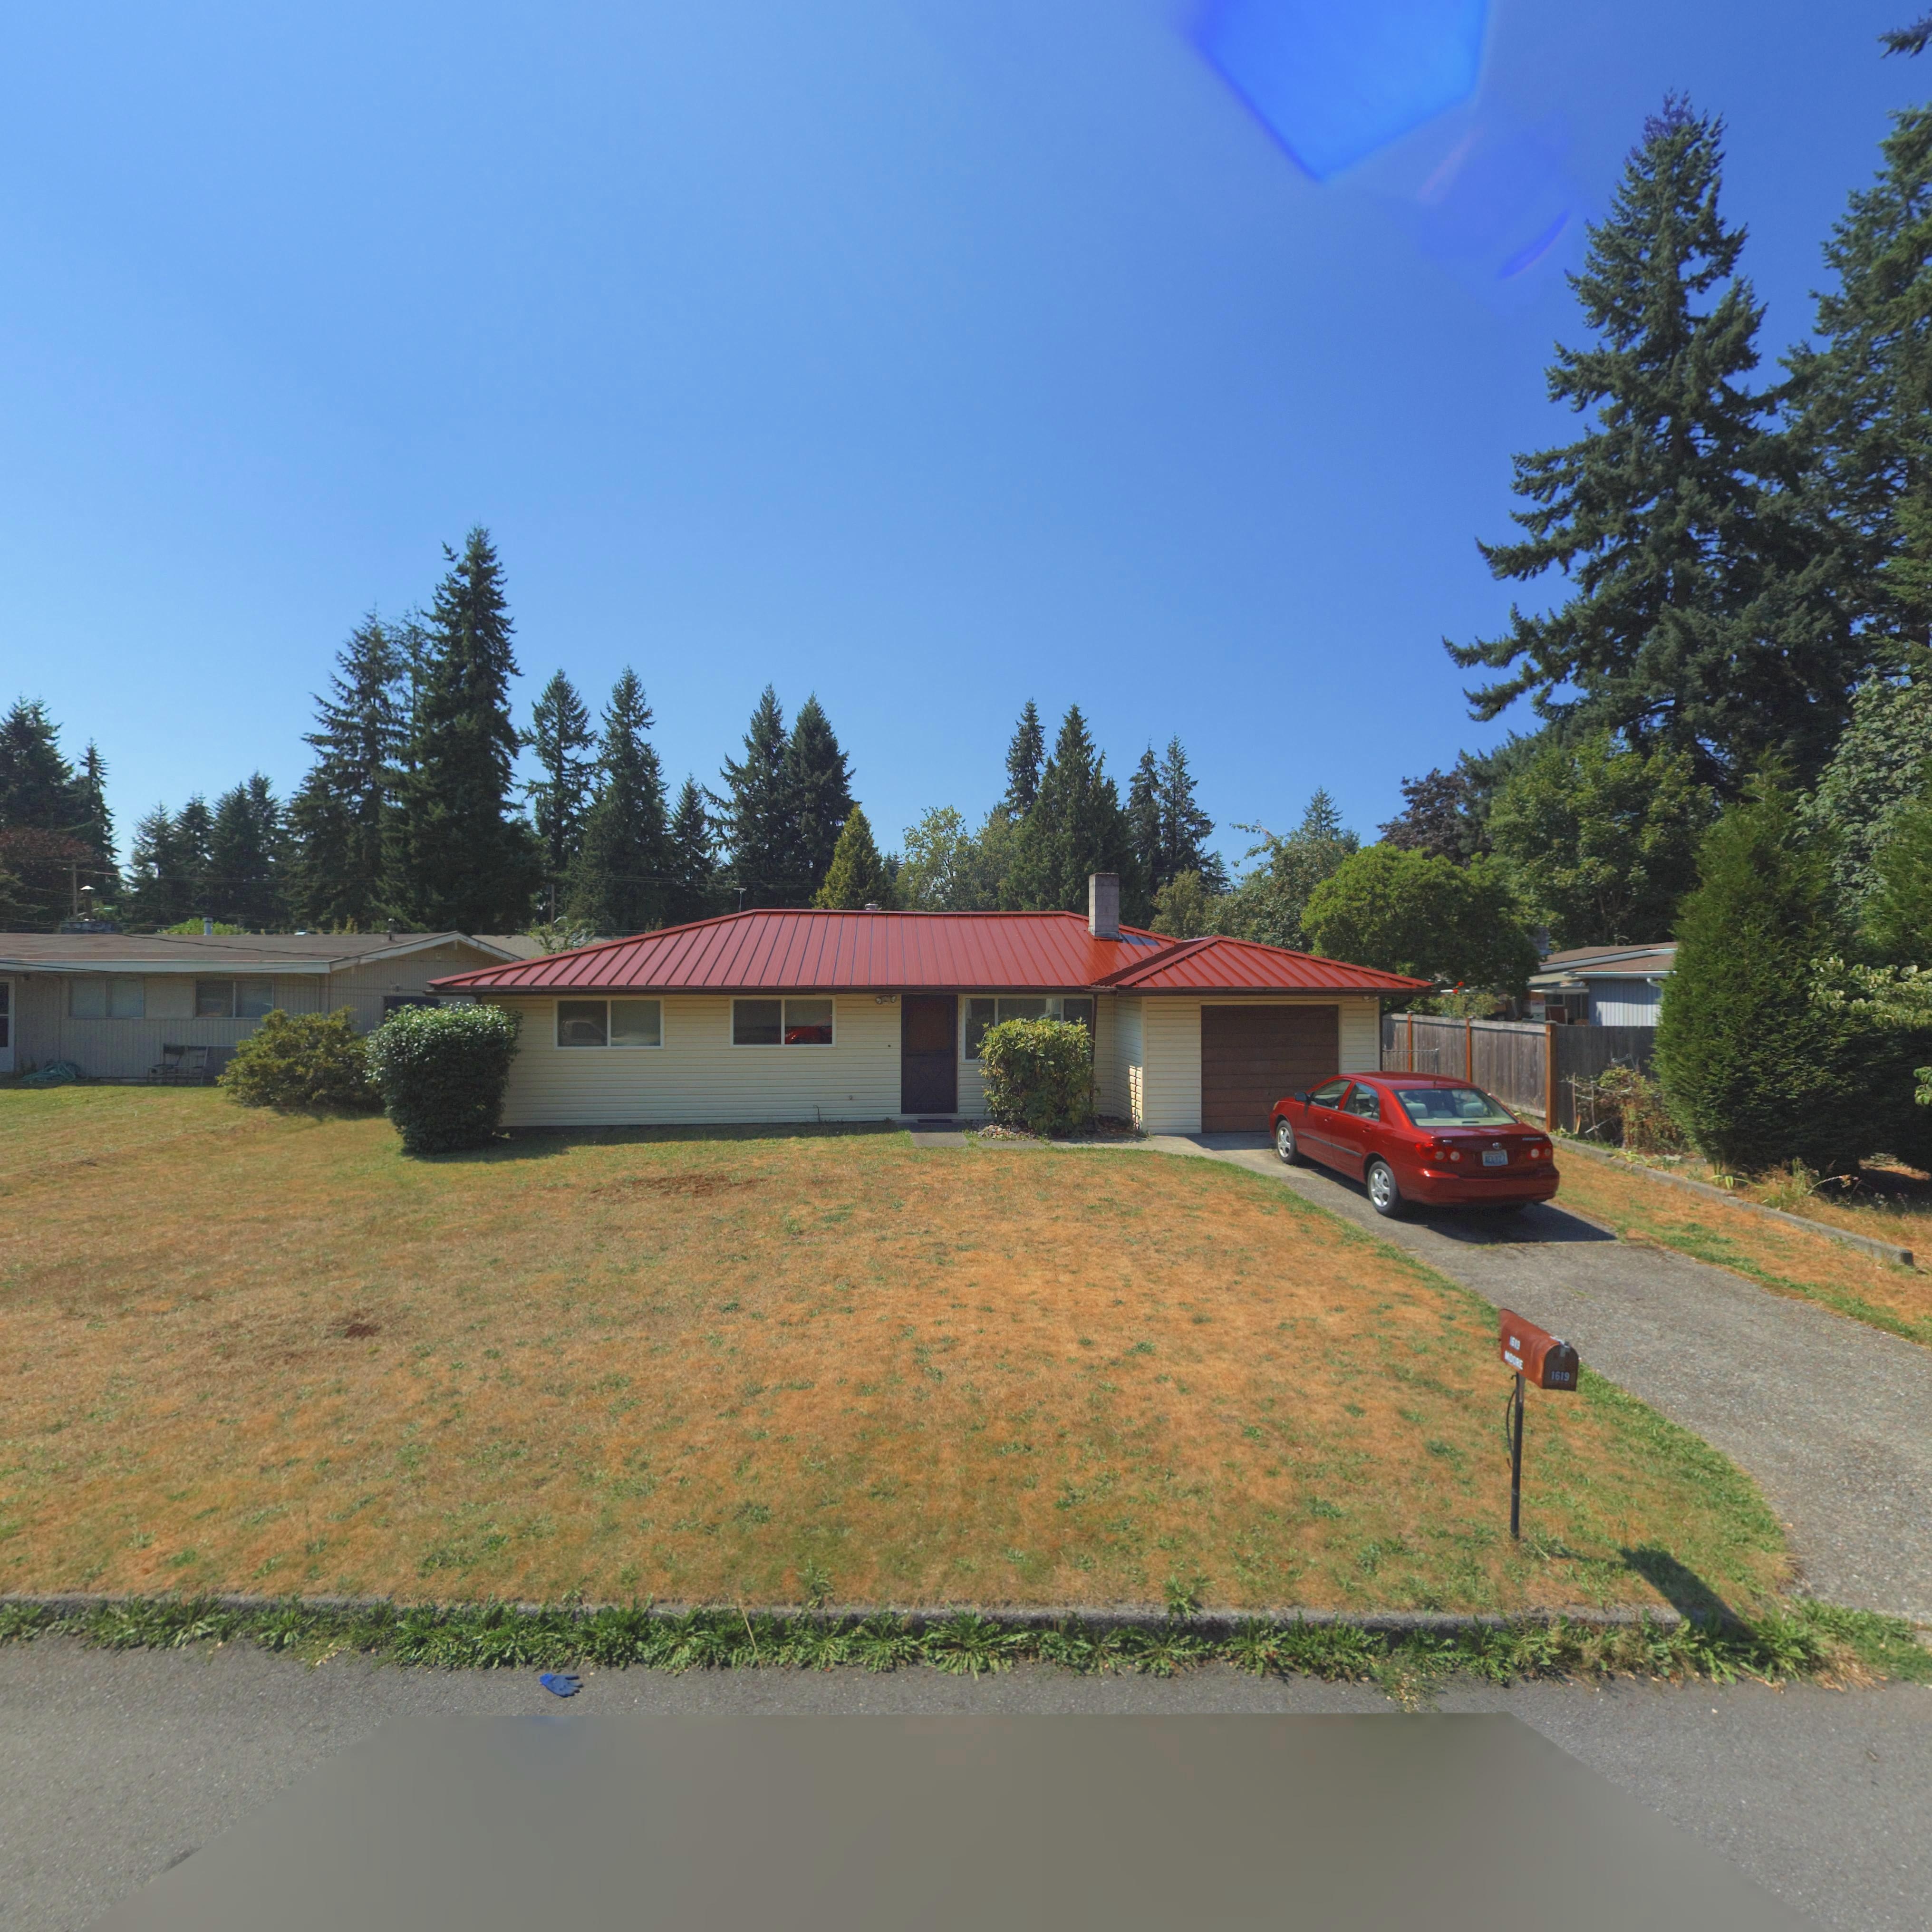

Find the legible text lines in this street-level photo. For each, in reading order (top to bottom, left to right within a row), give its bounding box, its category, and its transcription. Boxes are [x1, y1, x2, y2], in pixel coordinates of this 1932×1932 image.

[1508, 1333, 1521, 1351] StreetNumber: 1619
[1551, 1370, 1571, 1381] StreetNumber: 1619